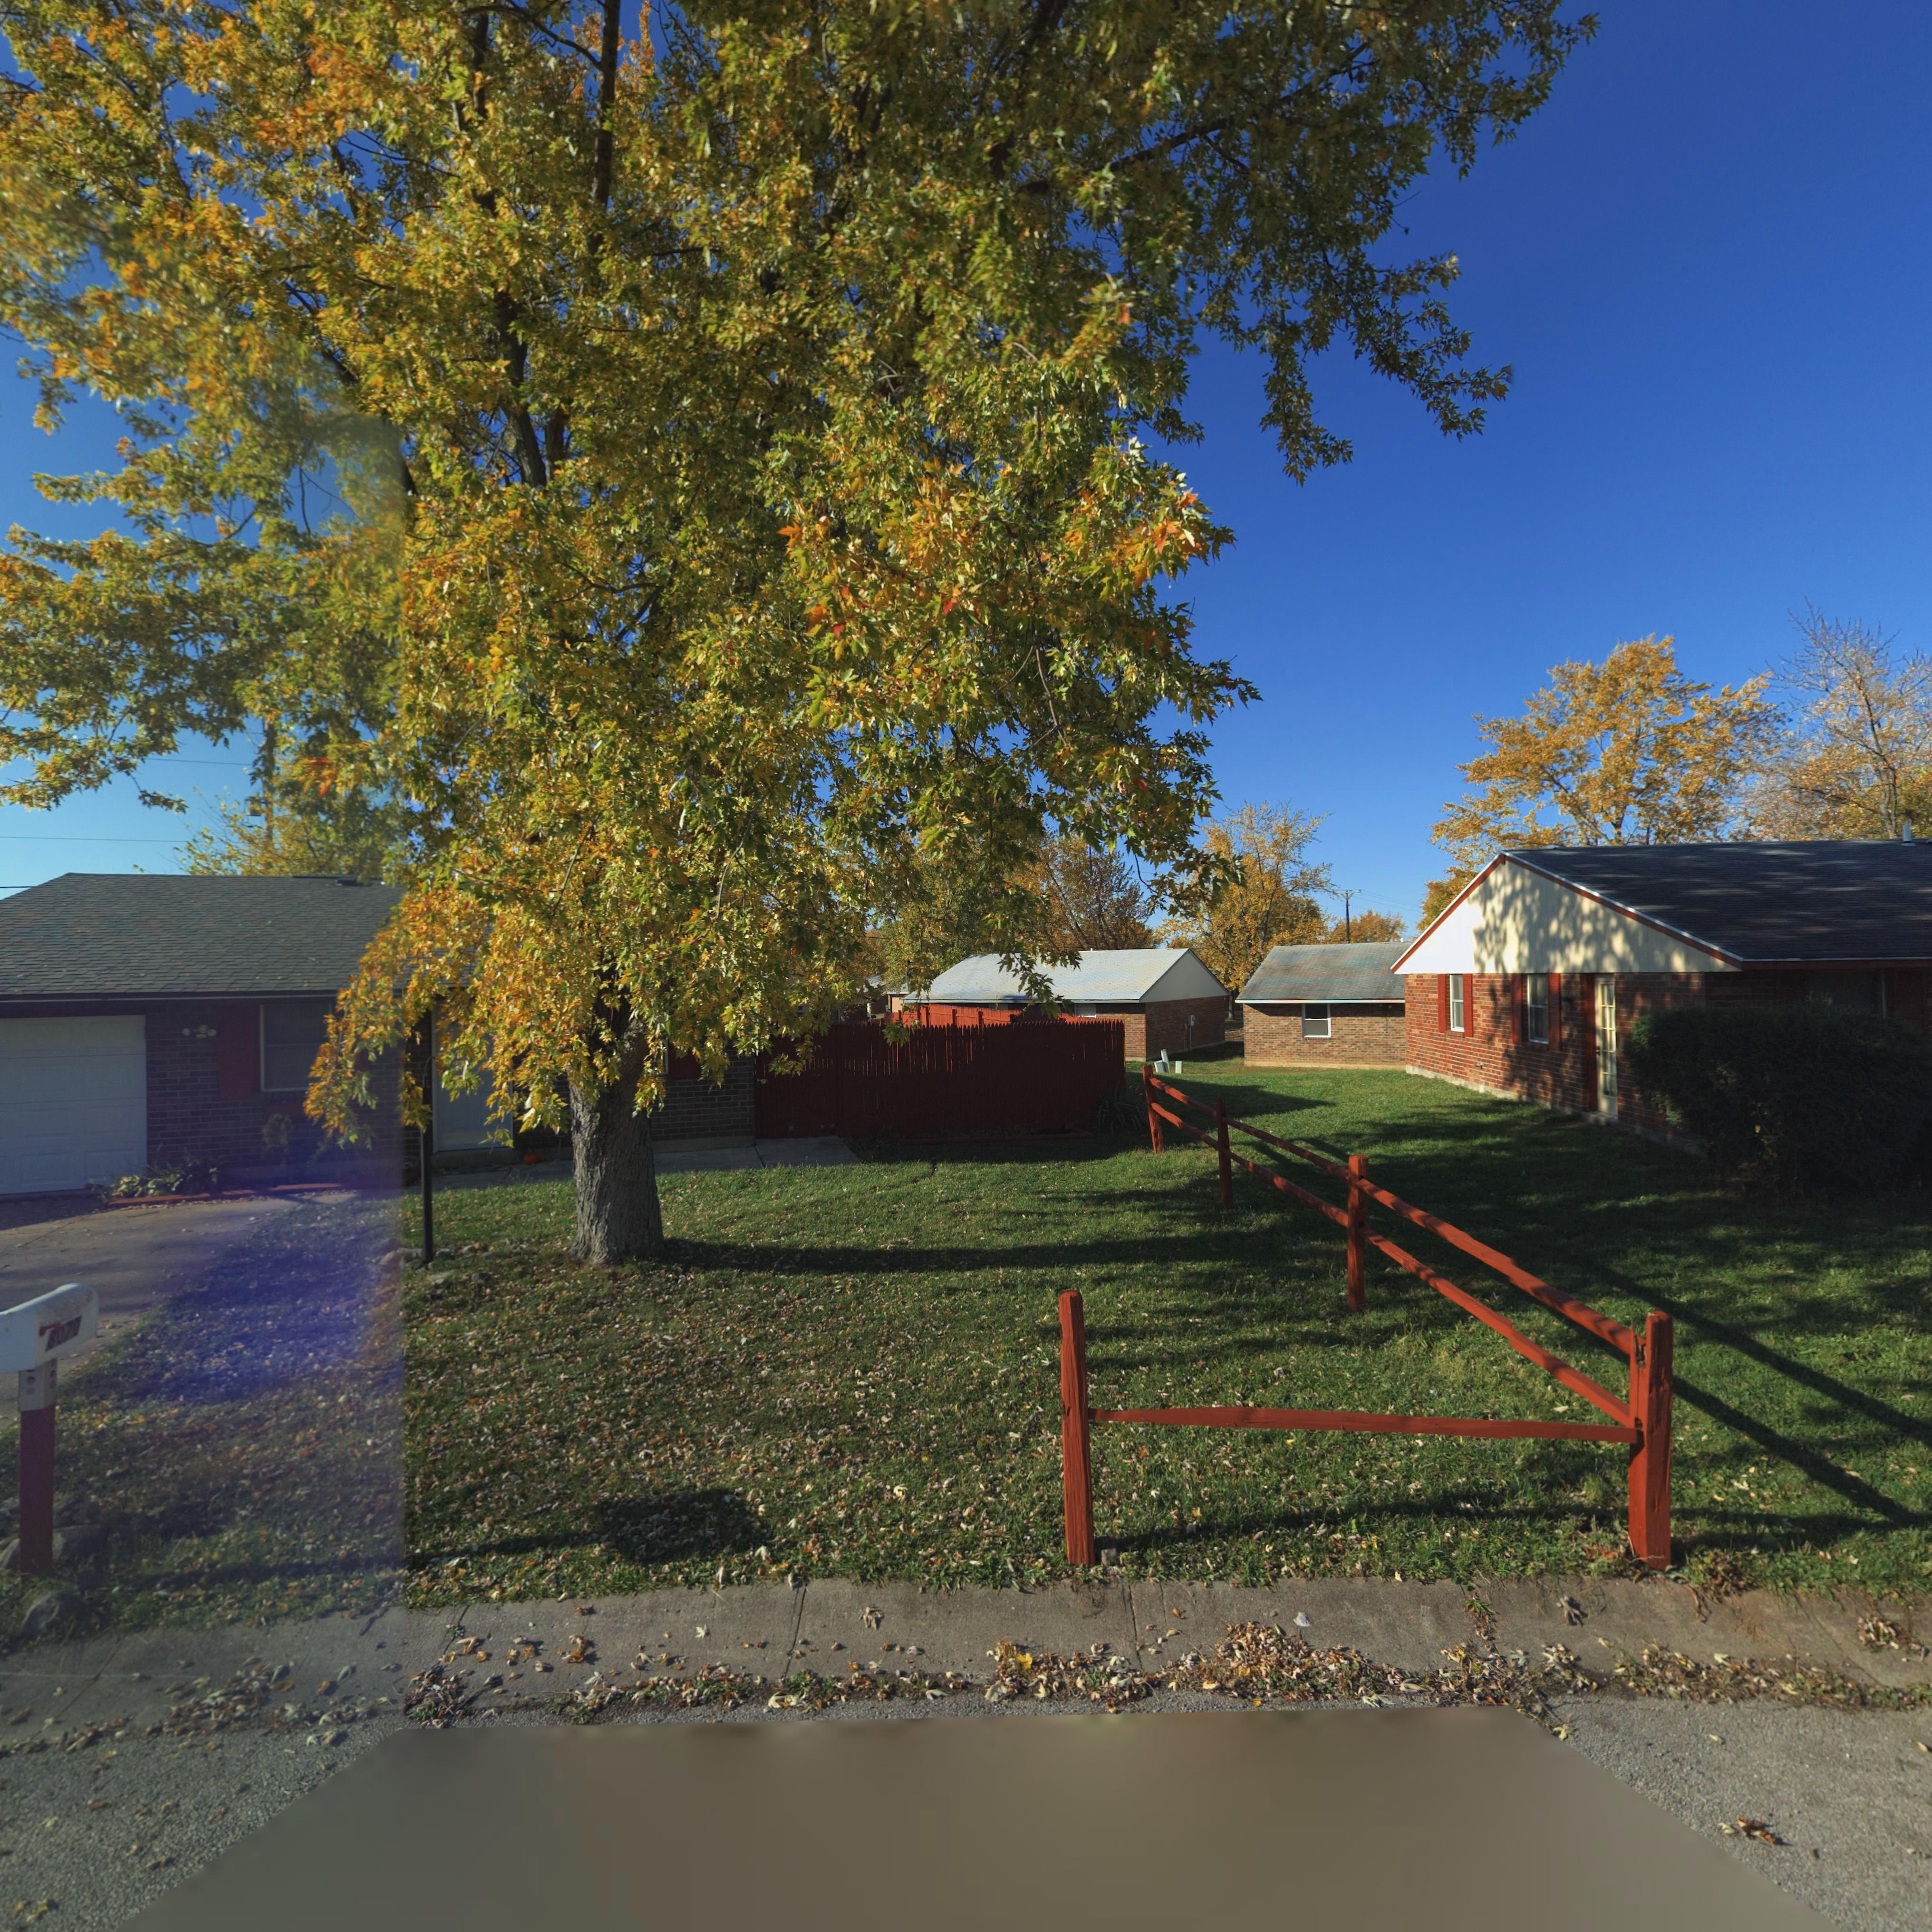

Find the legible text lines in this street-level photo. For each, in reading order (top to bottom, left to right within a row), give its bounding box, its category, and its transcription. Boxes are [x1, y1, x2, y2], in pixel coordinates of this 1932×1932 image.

[46, 1314, 82, 1351] StreetNumber: 8070